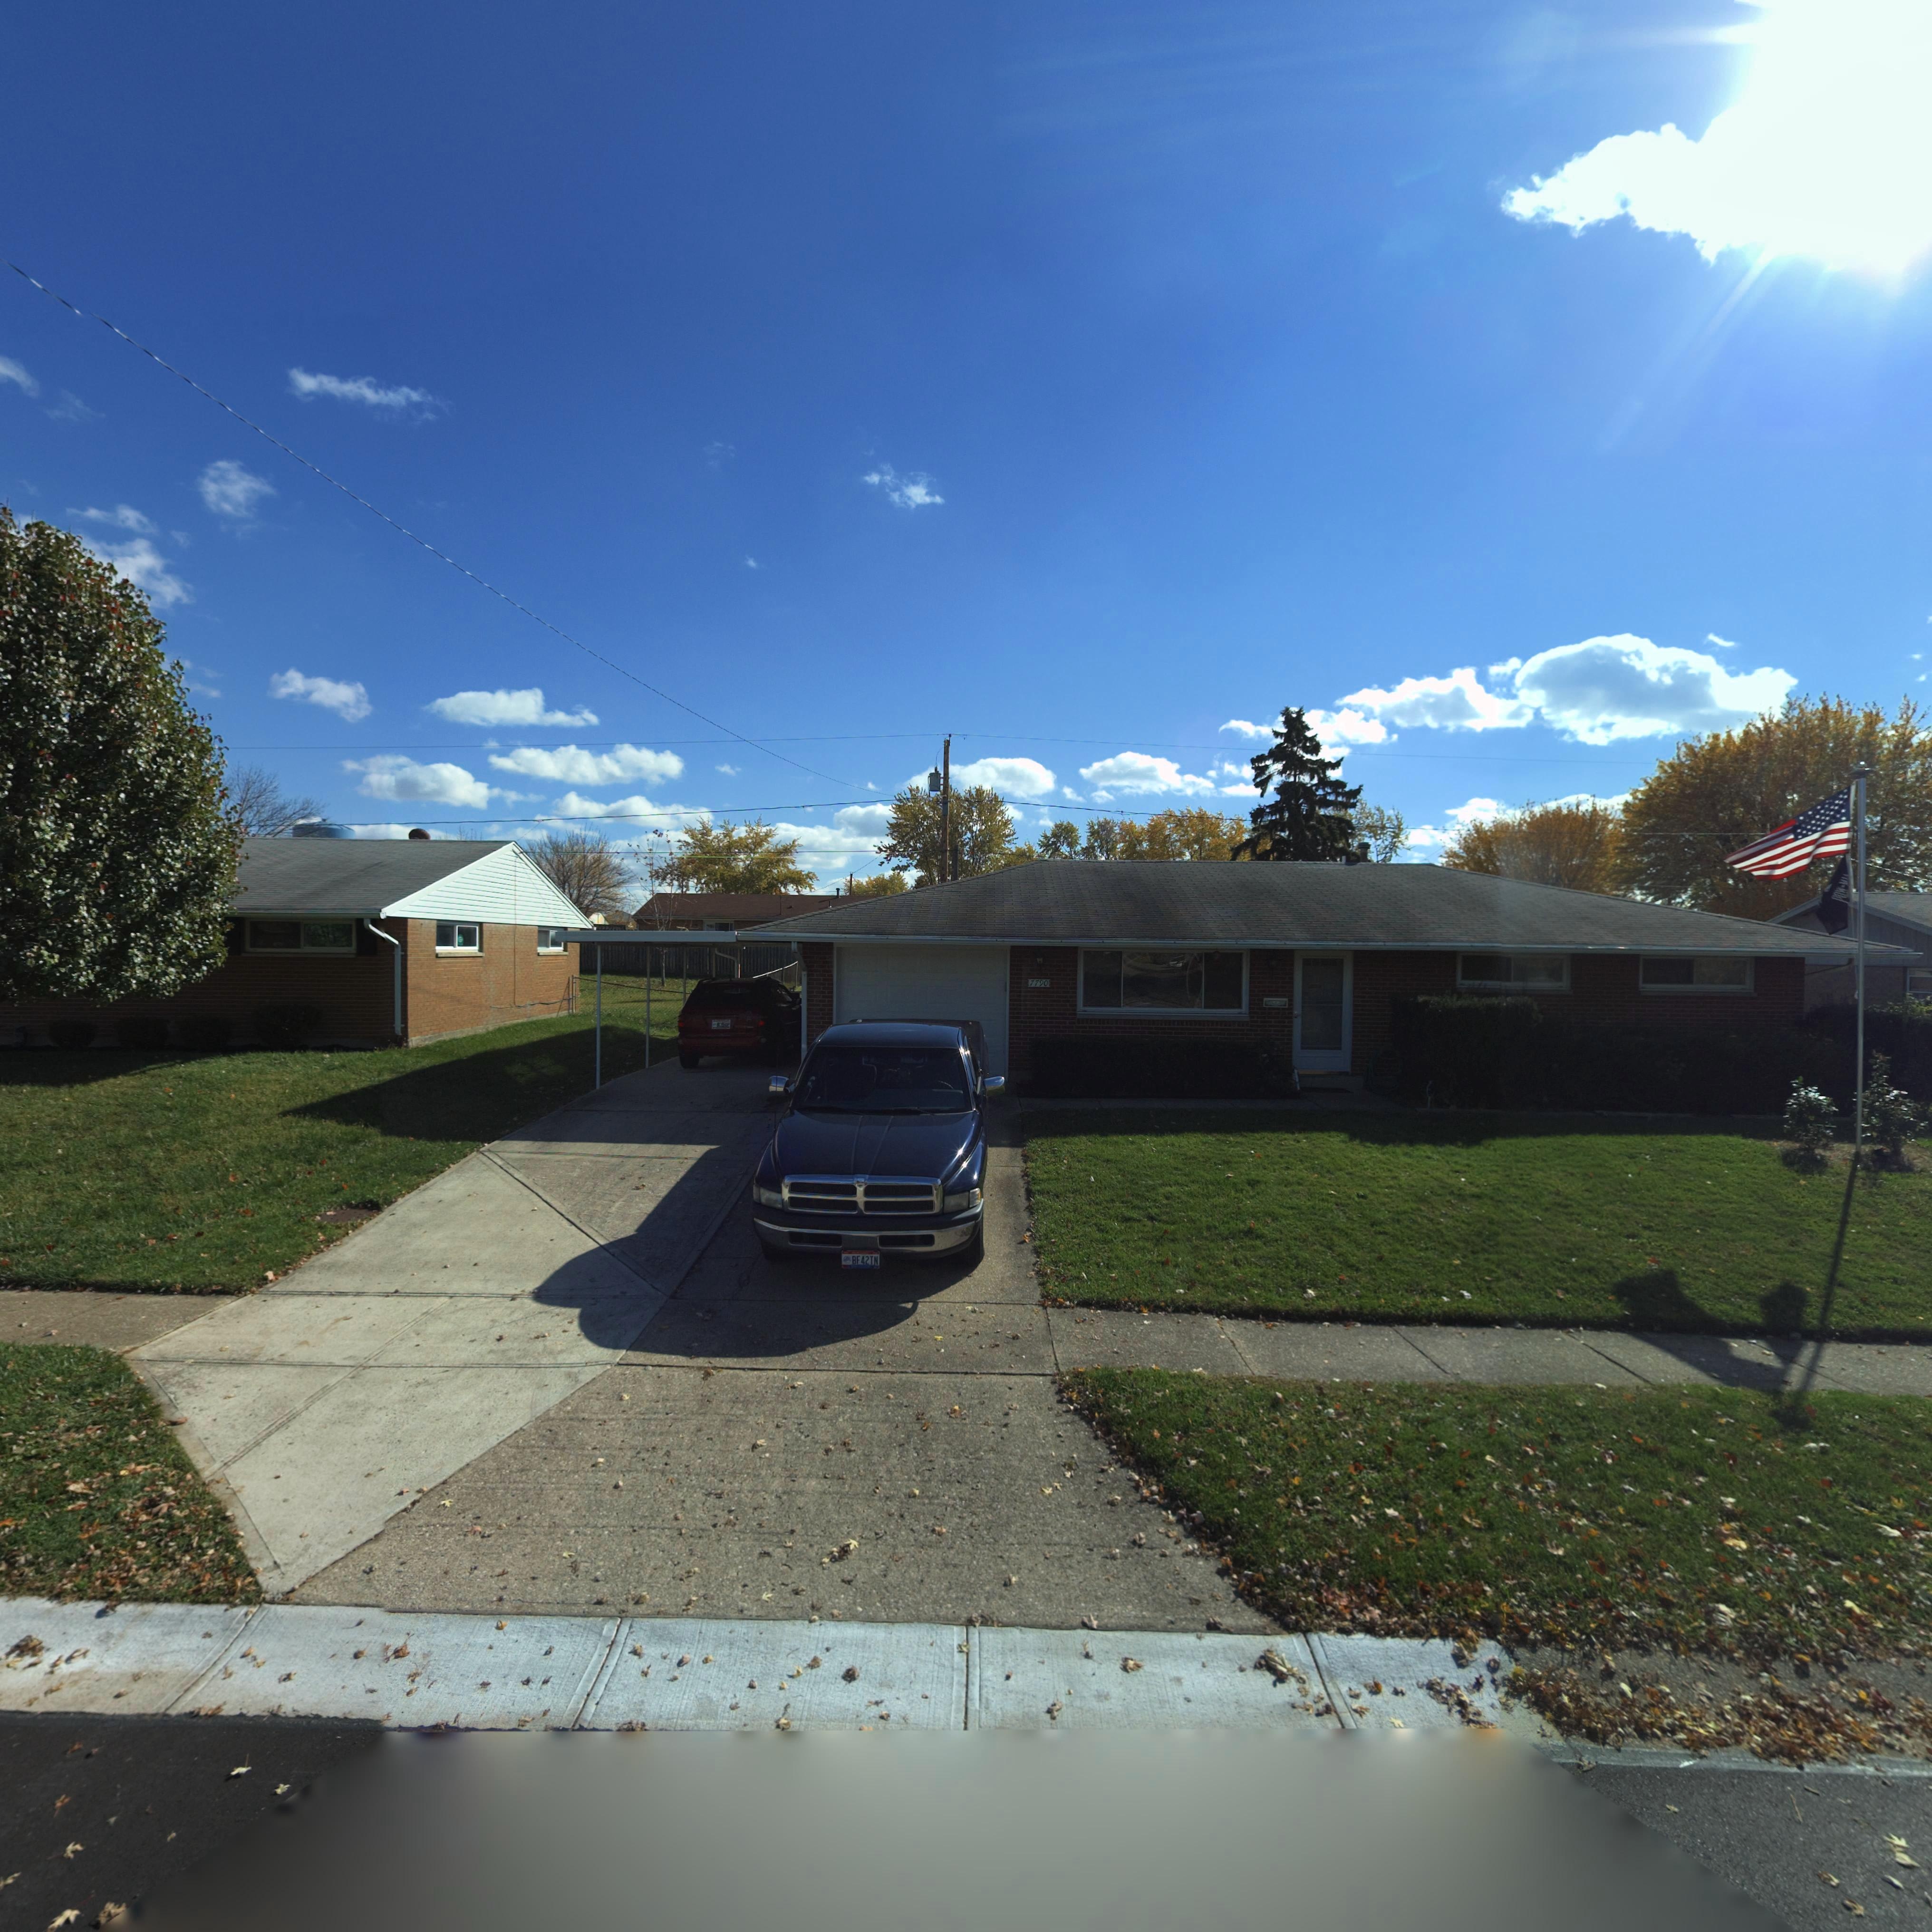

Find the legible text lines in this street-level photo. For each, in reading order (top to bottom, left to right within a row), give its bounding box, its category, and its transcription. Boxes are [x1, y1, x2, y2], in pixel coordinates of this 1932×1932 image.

[1029, 980, 1048, 986] StreetNumber: 7790